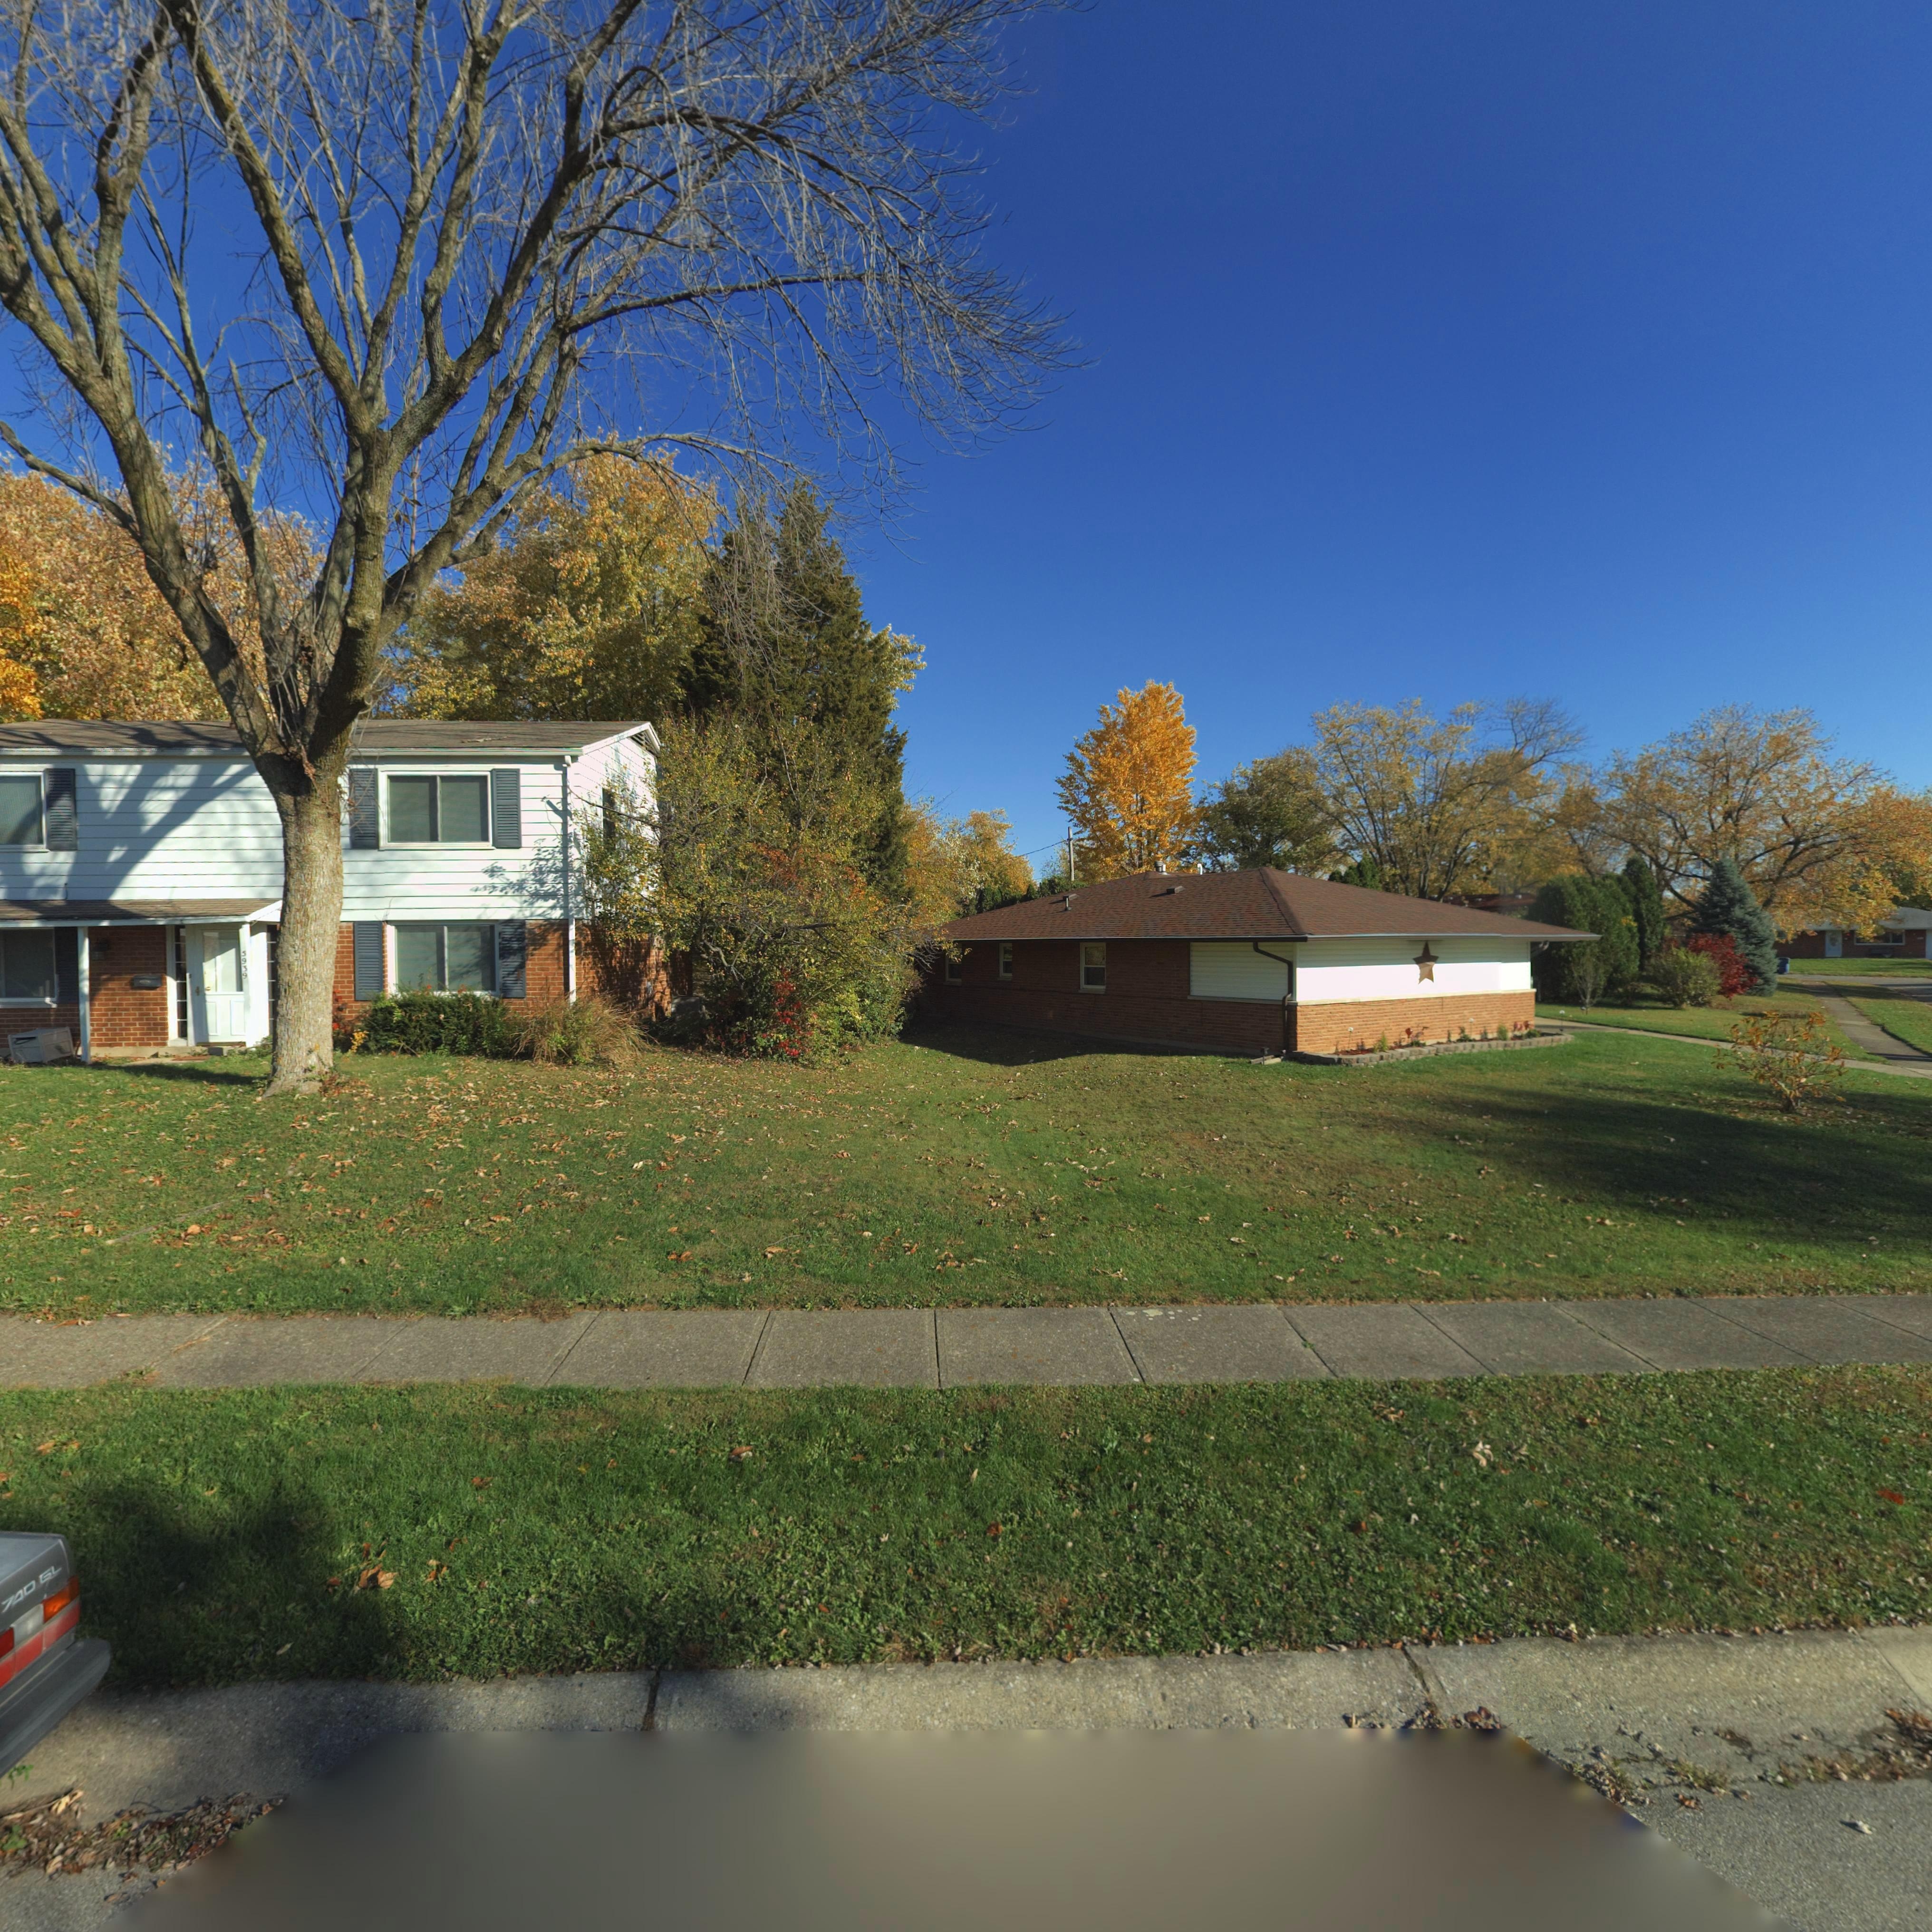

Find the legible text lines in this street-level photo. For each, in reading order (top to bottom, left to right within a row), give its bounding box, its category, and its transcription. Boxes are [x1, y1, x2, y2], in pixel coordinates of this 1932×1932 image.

[240, 949, 249, 980] StreetNumber: 5939